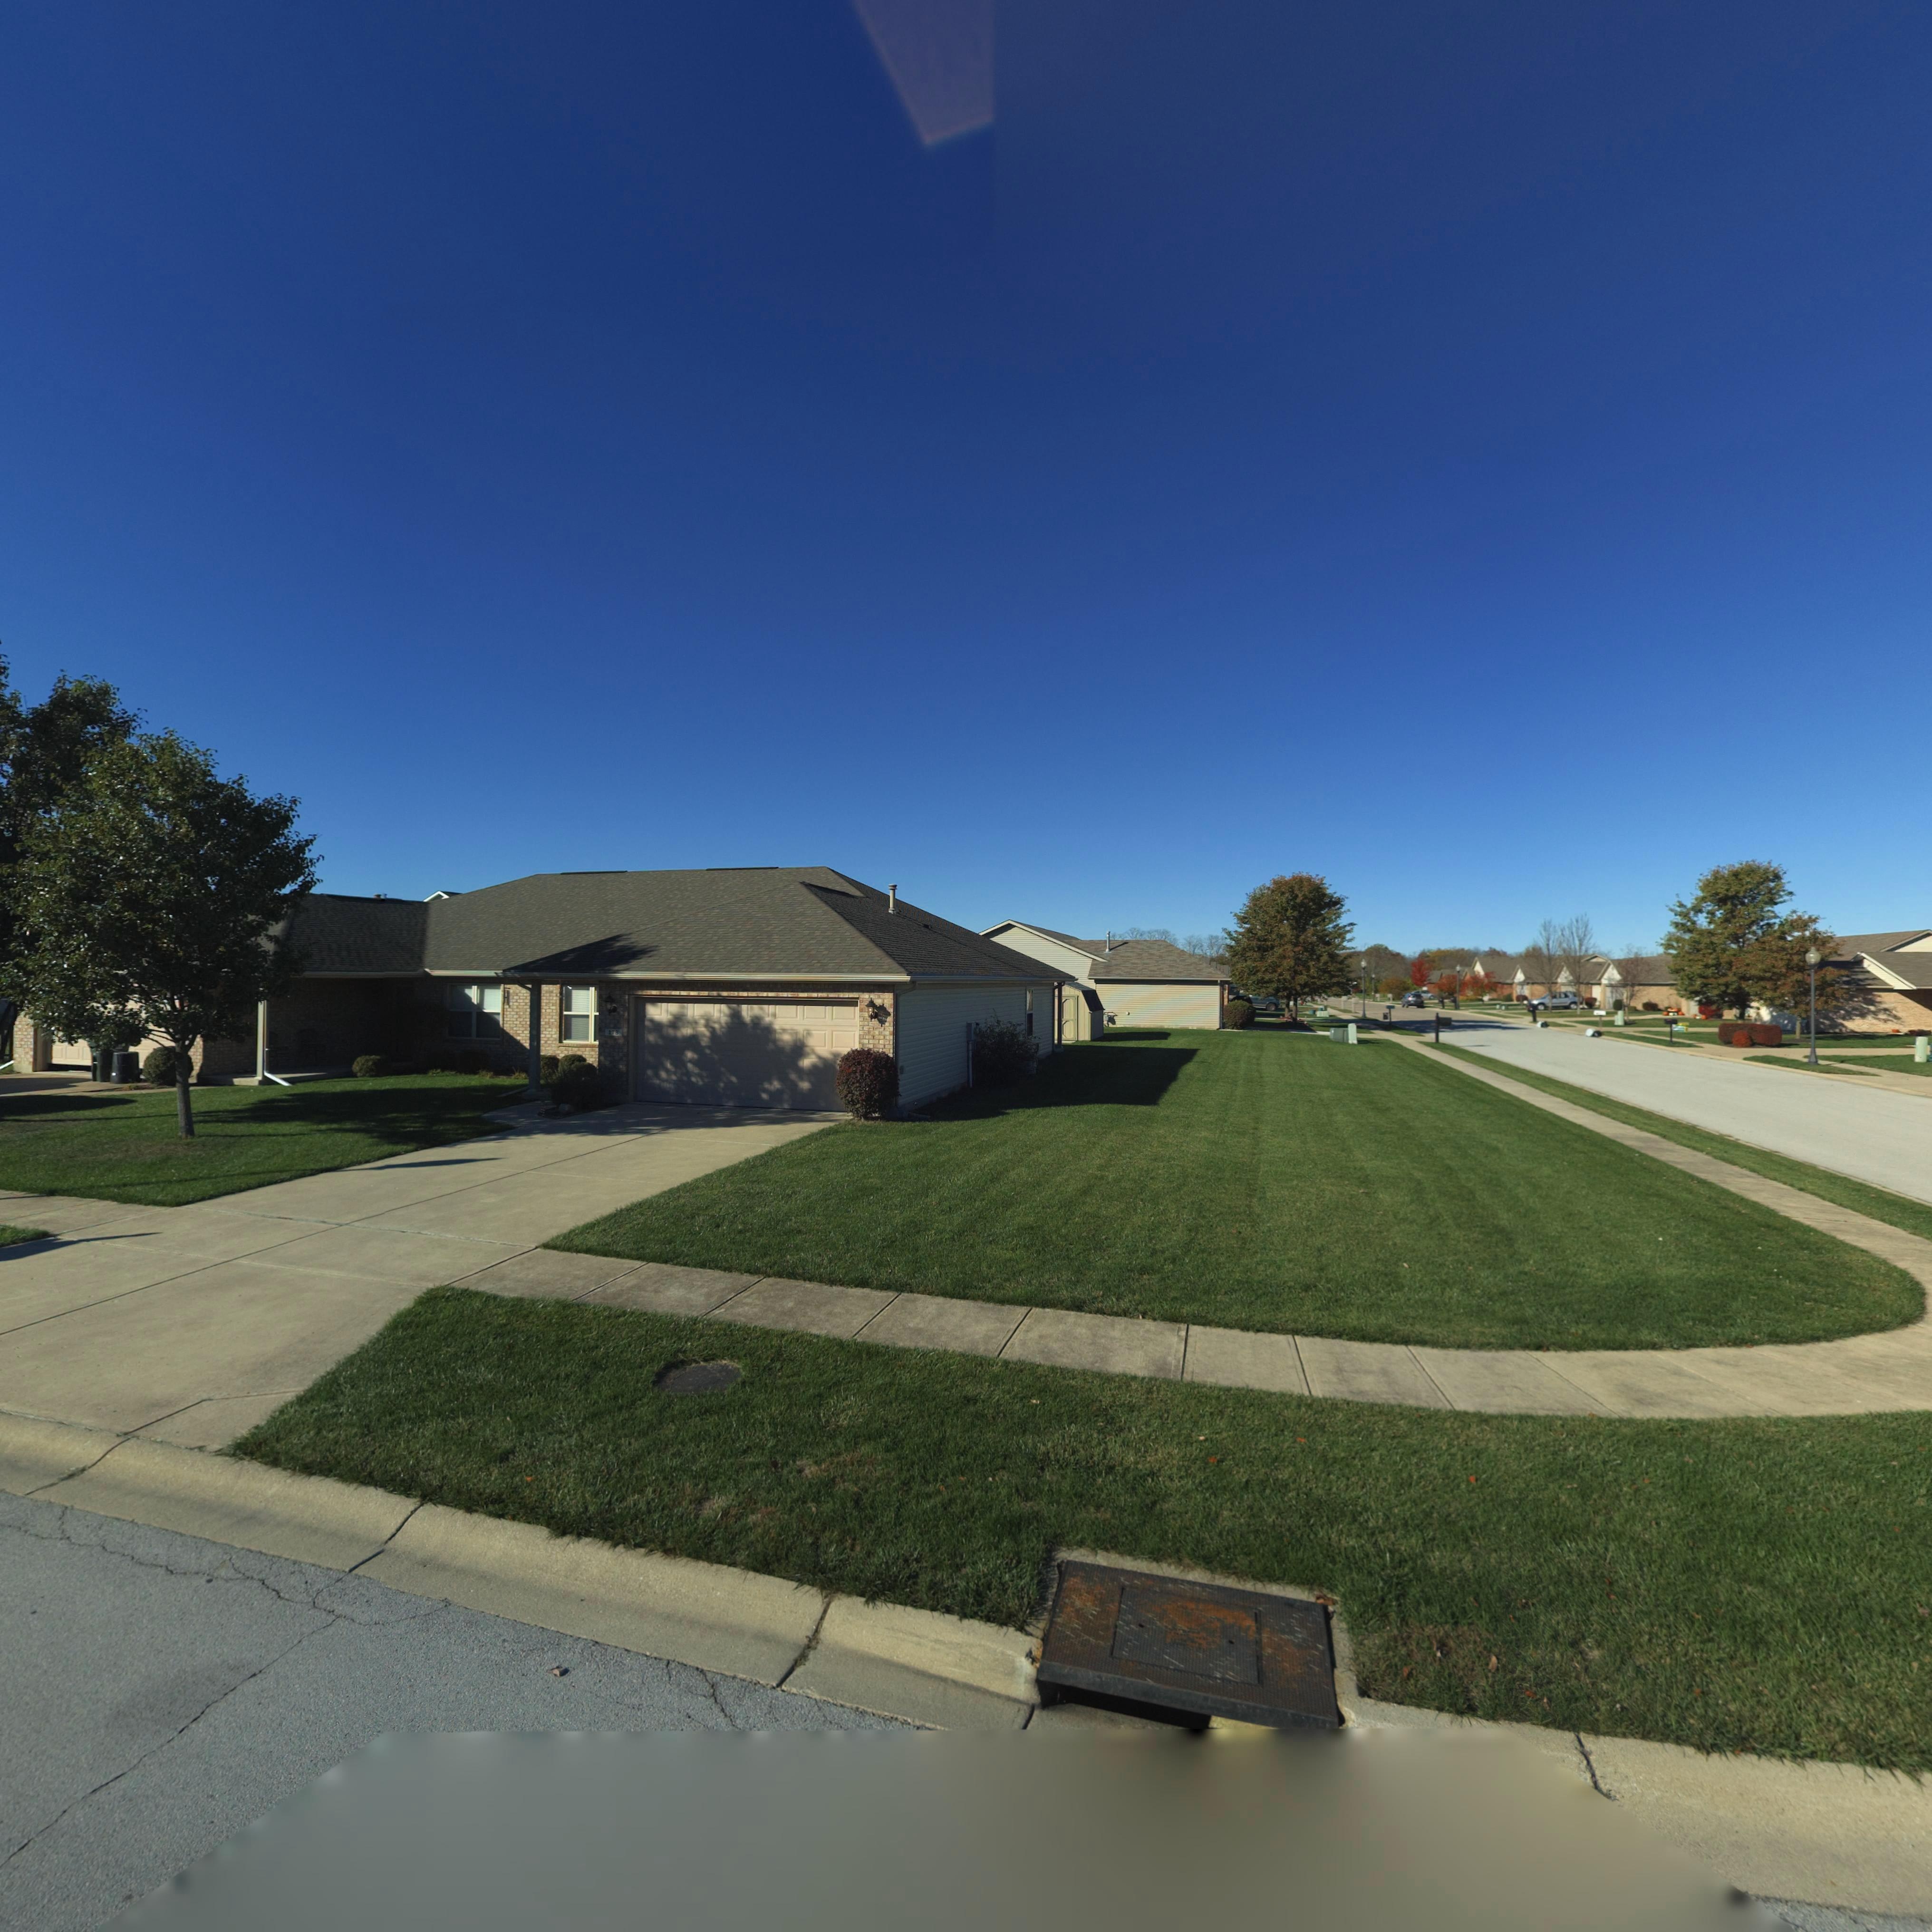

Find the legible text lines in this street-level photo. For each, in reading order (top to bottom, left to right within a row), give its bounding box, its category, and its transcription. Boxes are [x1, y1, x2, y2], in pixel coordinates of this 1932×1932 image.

[608, 1029, 619, 1035] StreetNumber: 178